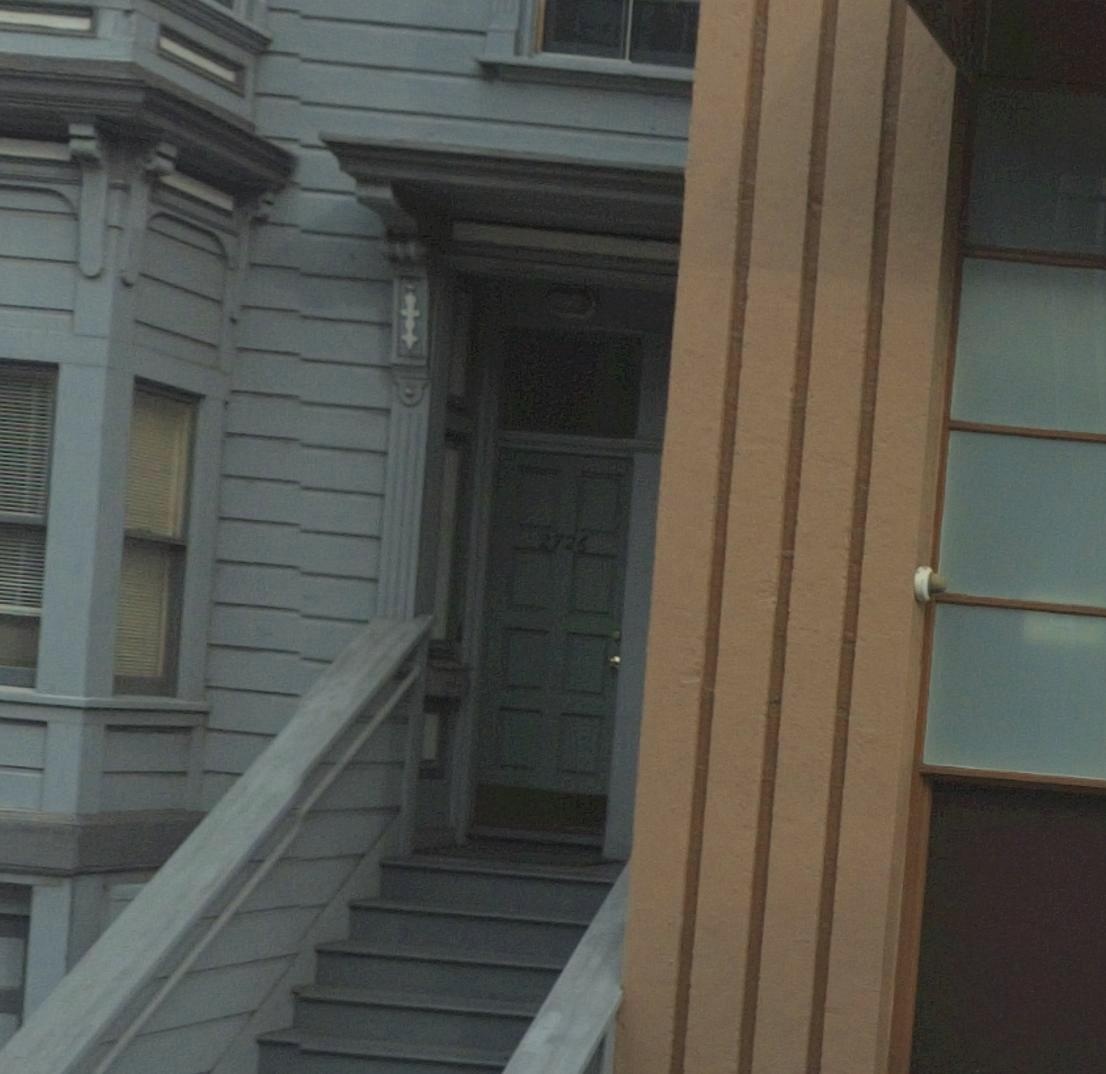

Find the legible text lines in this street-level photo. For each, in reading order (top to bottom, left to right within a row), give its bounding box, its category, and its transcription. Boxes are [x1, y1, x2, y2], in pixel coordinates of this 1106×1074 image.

[536, 531, 591, 554] StreetNumber: 2726